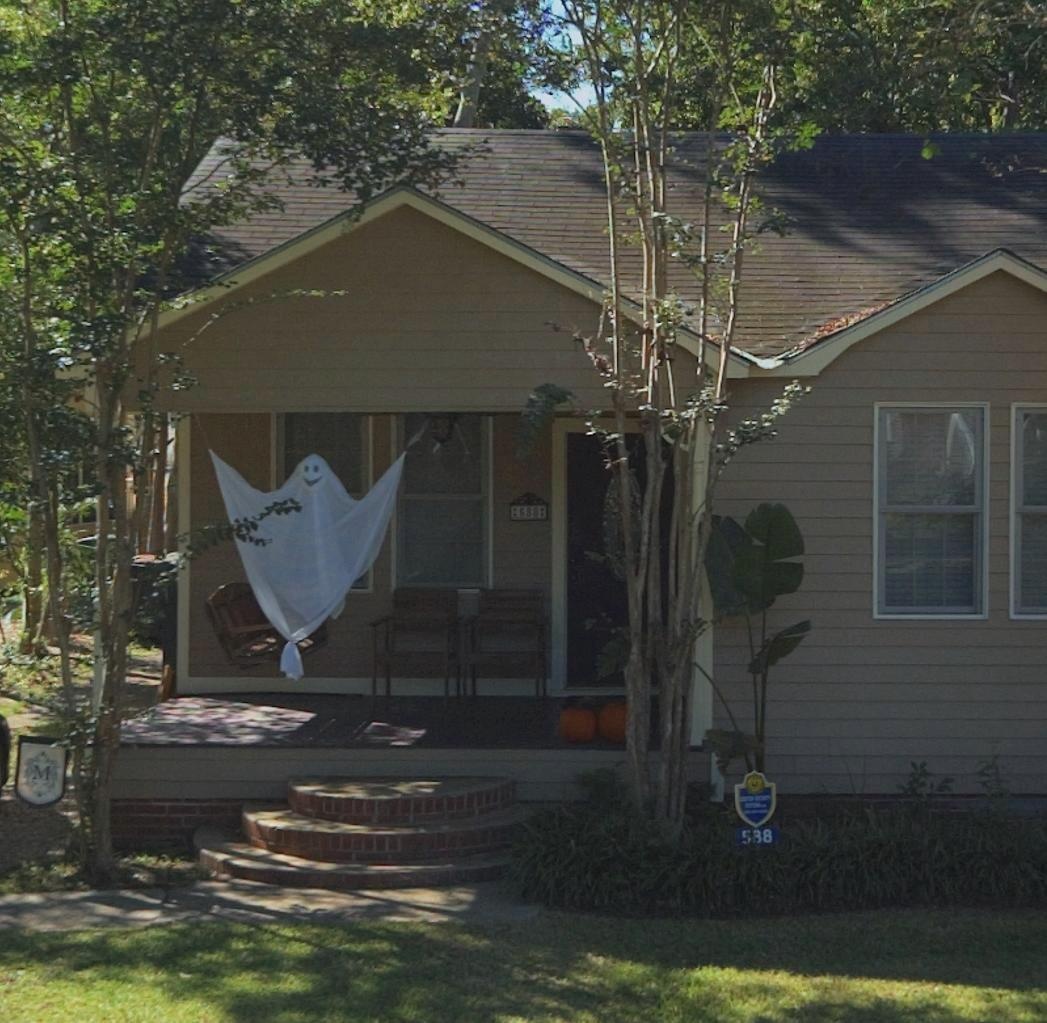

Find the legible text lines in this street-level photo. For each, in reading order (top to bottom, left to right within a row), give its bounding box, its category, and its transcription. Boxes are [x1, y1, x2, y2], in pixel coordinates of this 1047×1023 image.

[517, 506, 540, 517] StreetNumber: 588
[31, 763, 51, 782] None: M
[740, 828, 773, 845] StreetNumber: 588